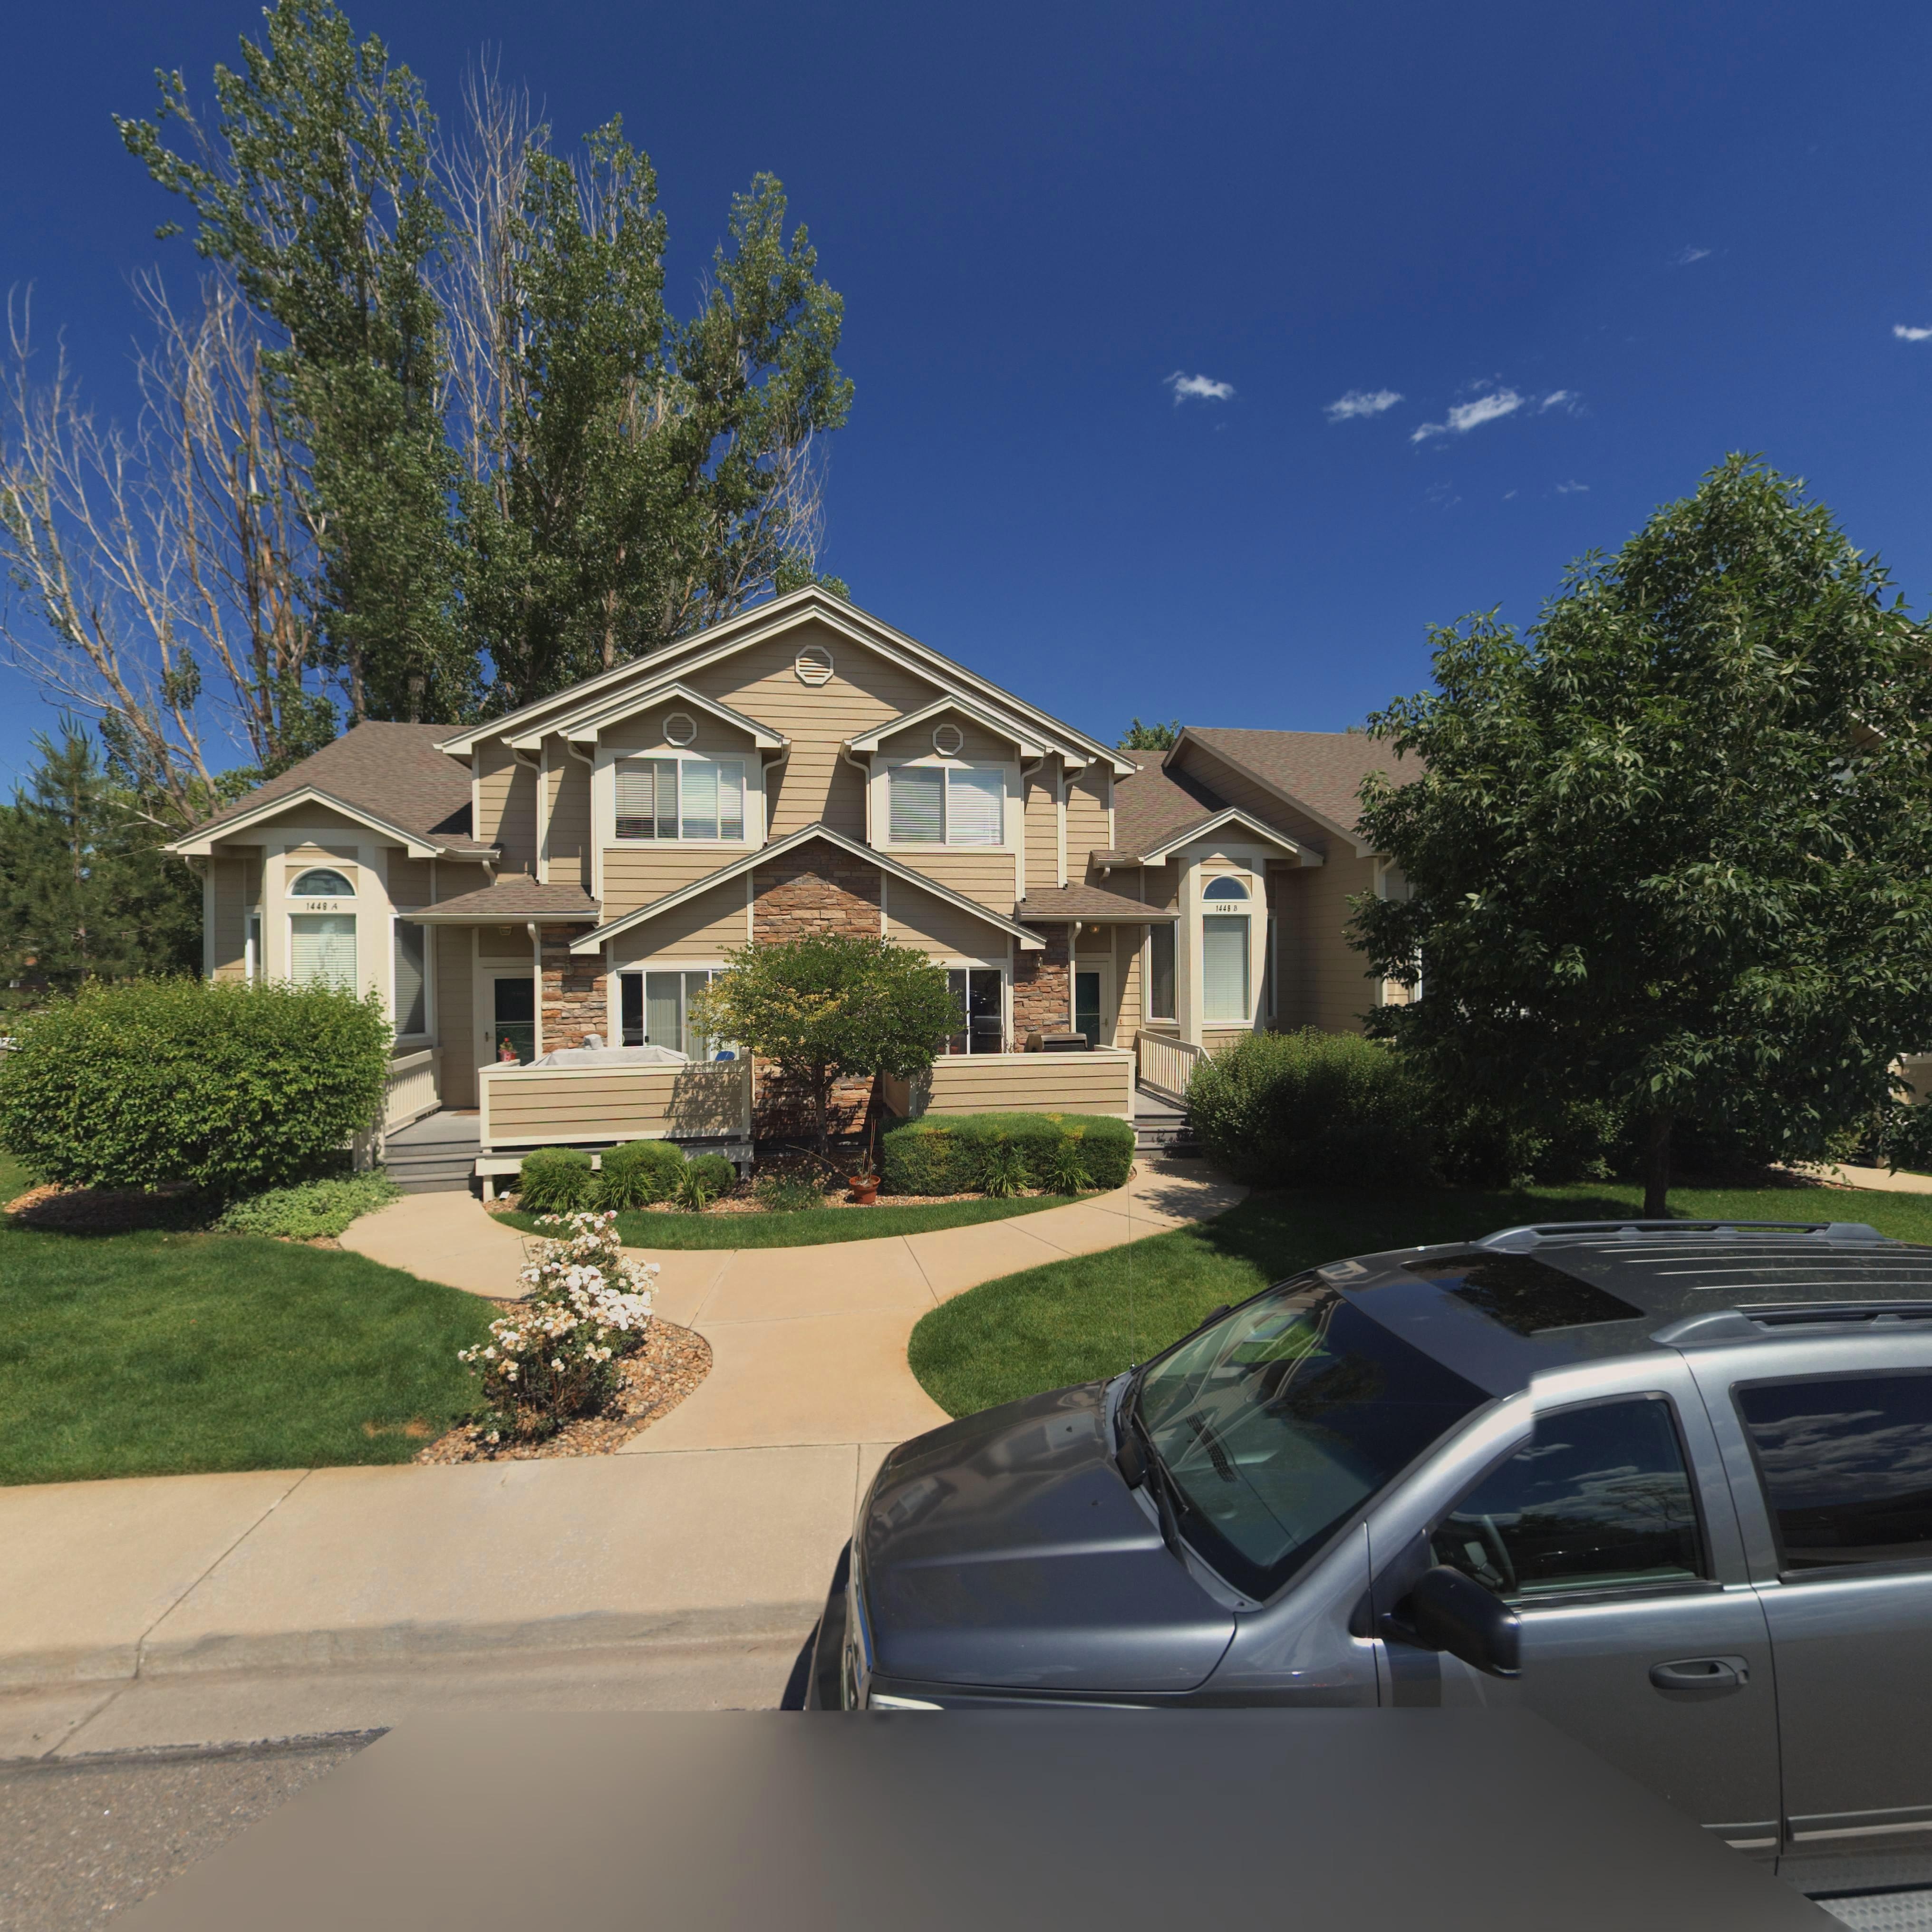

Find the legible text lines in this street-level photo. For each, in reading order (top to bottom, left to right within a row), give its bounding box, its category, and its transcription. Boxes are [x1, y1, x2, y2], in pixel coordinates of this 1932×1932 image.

[306, 902, 338, 910] StreetNumber: 1448 A
[1216, 905, 1237, 912] StreetNumber: 1448 B